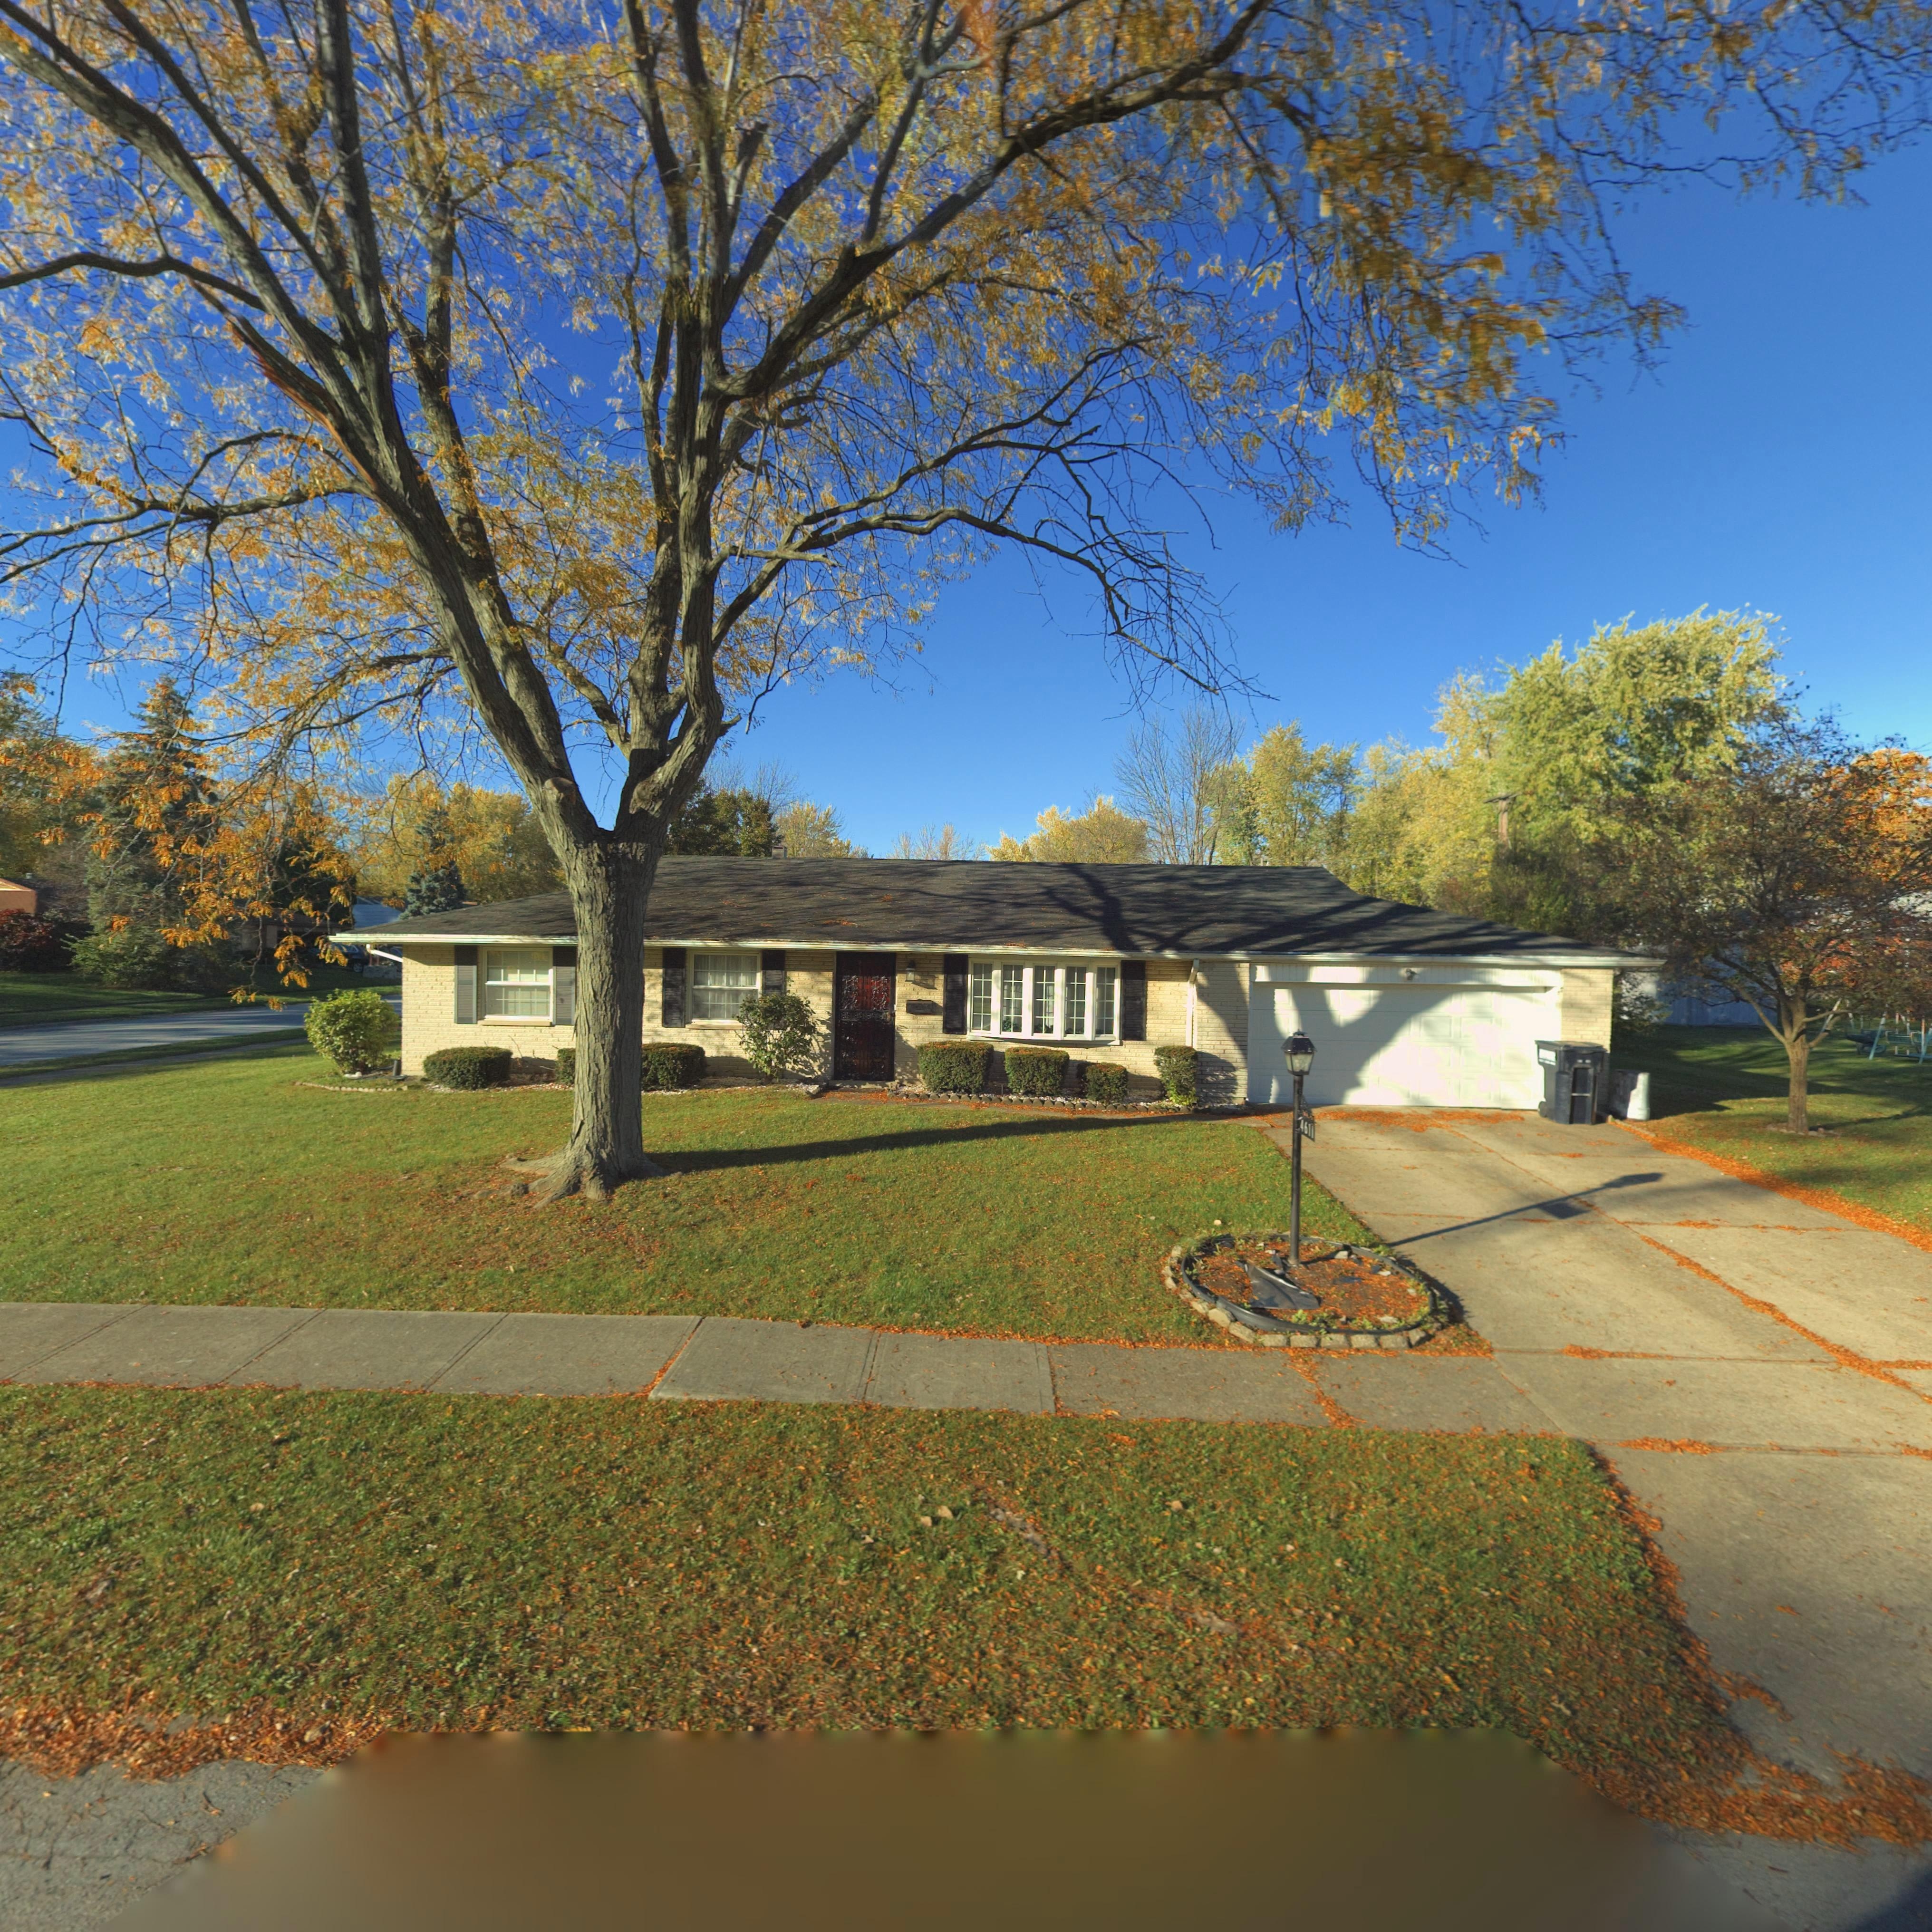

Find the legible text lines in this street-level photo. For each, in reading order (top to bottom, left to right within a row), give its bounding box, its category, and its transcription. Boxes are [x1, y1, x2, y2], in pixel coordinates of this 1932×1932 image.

[1299, 1118, 1314, 1140] StreetNumber: 4611